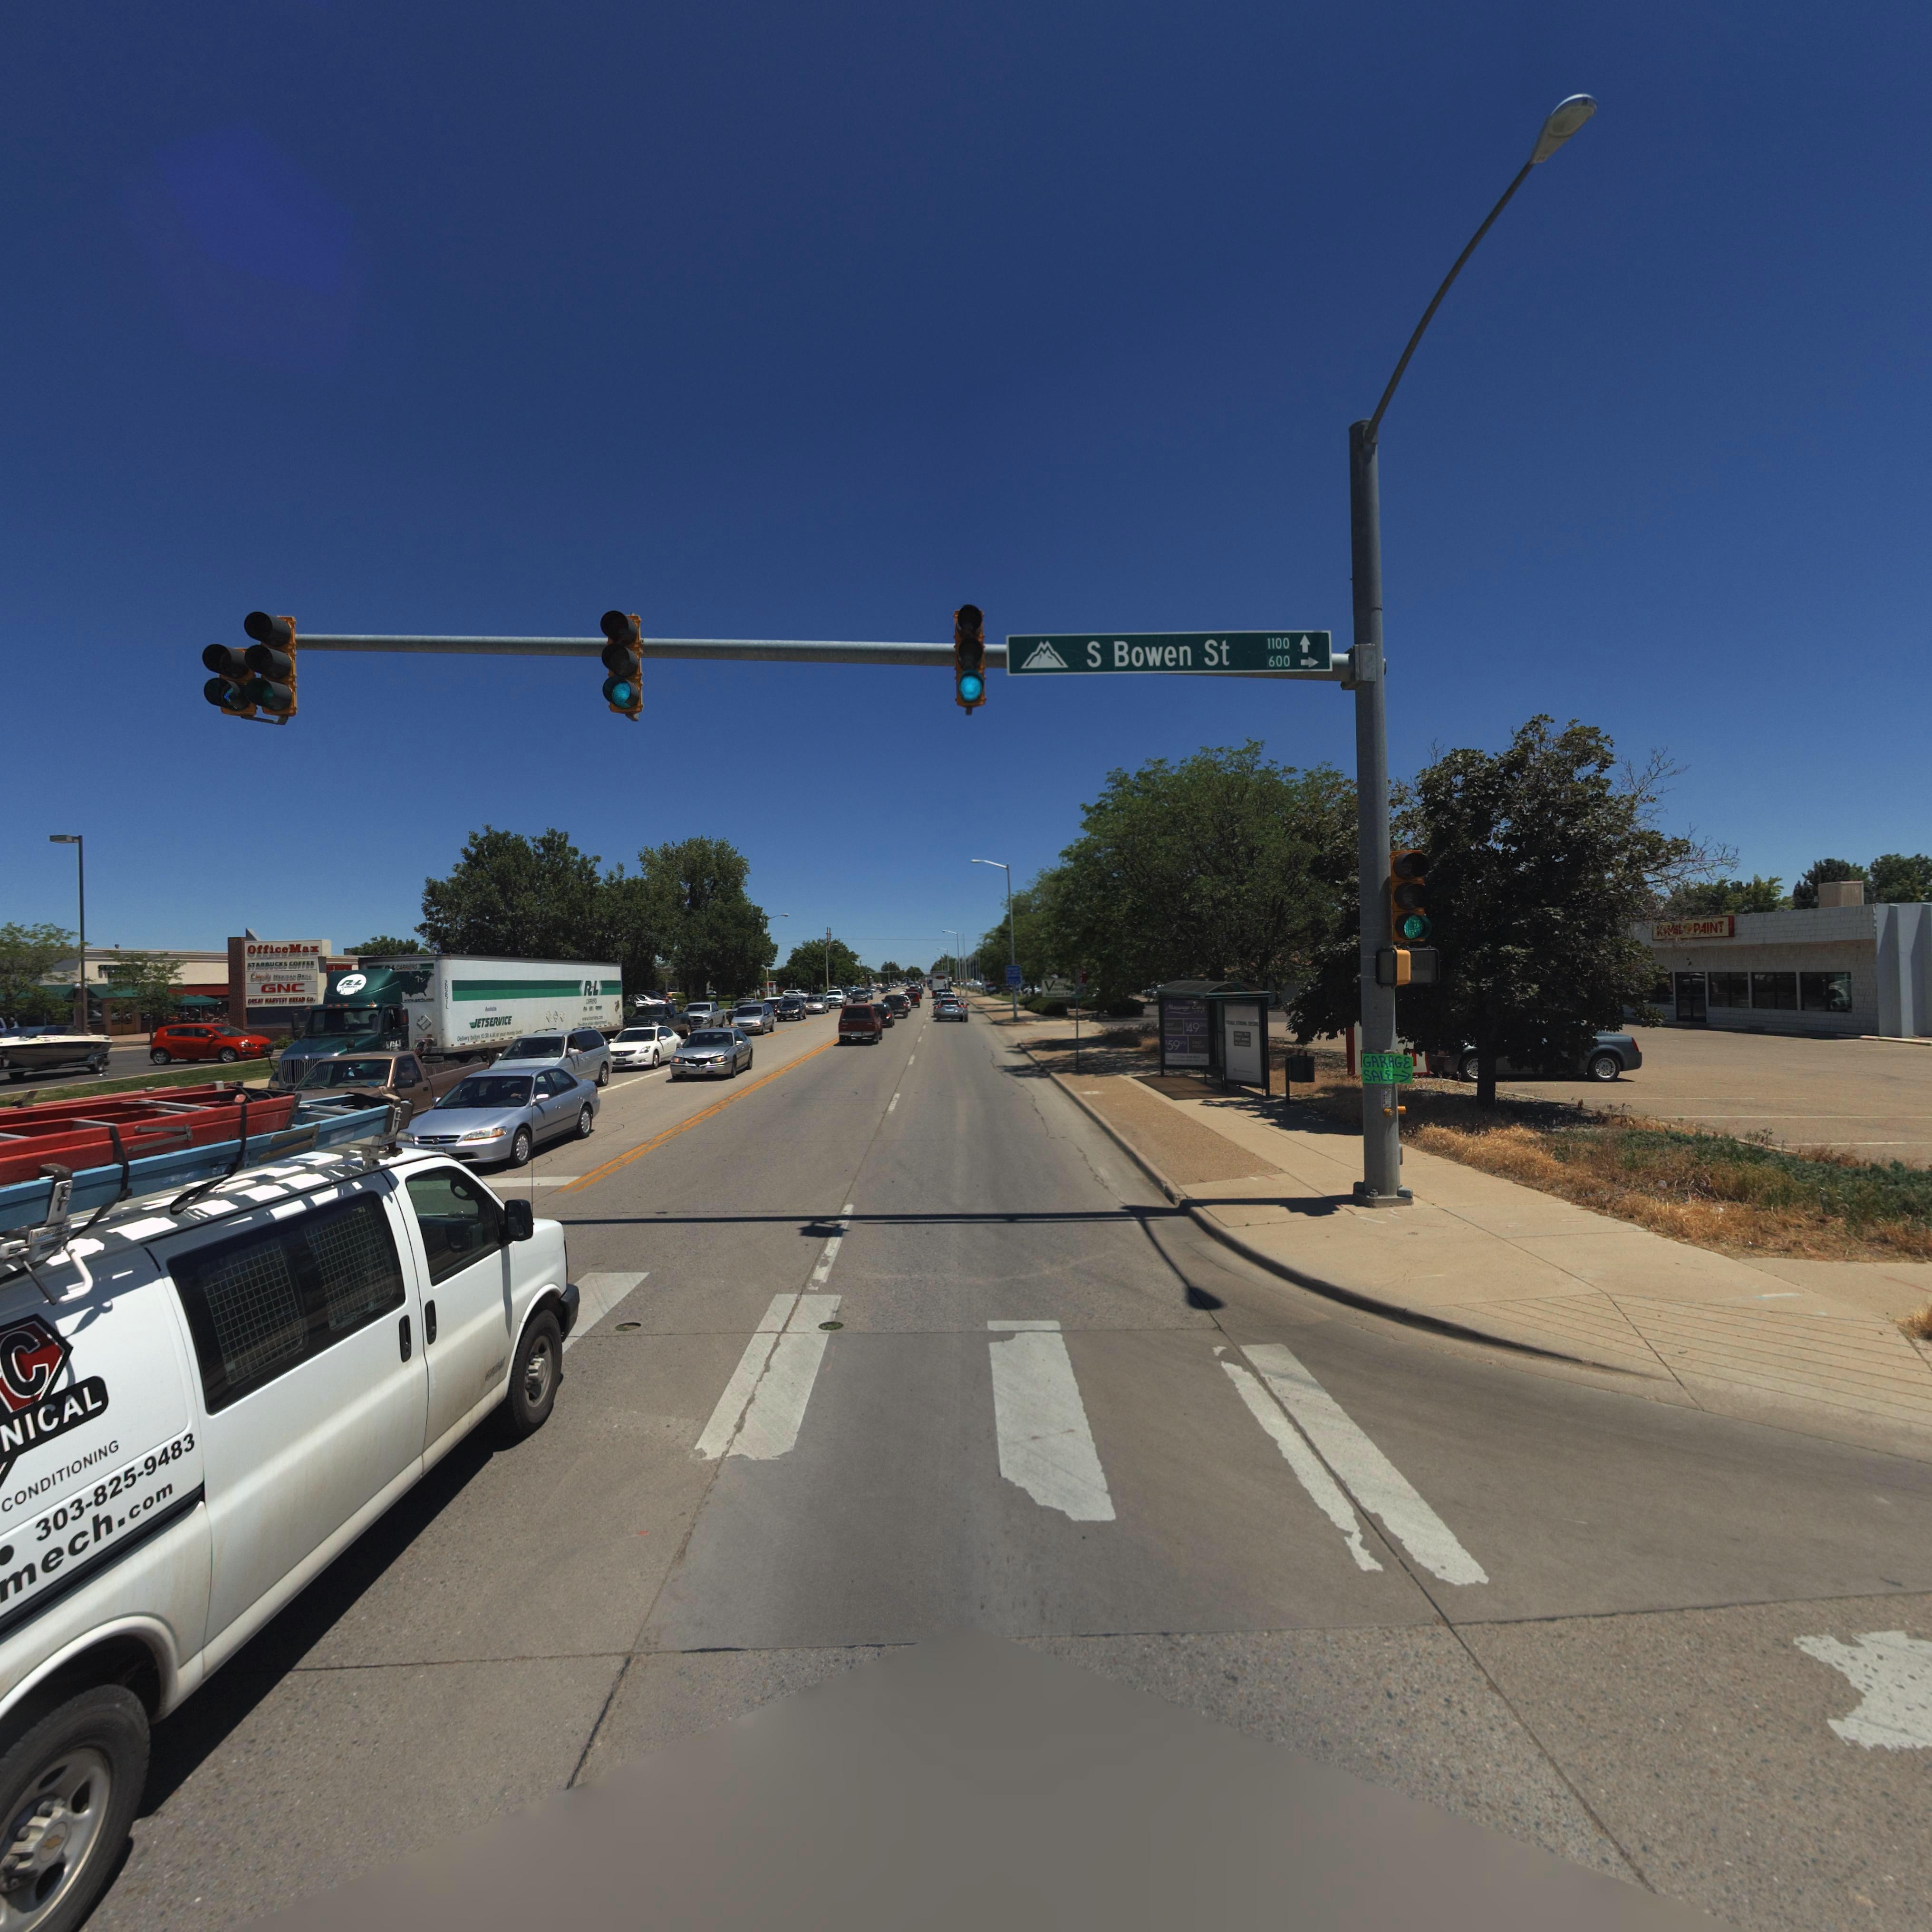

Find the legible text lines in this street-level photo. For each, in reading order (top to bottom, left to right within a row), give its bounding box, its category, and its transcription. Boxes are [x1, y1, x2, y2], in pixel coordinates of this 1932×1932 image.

[1266, 637, 1290, 649] StreetNumber: 1100
[1086, 638, 1230, 668] StreetName: S Bowen St
[1268, 655, 1320, 668] StreetNumberRange: 600->
[1656, 920, 1724, 937] BusinessName: K**L PAINT
[247, 944, 319, 954] BusinessName: OfficeMax
[247, 960, 315, 967] BusinessName: STA**UCKS COFF**
[251, 971, 312, 981] BusinessName: C******* M*****N G***L
[261, 983, 305, 993] BusinessName: GNC
[1043, 980, 1056, 992] BusinessName: V
[247, 996, 316, 1004] BusinessName: B**A* *ARVEST B*E*D Co.